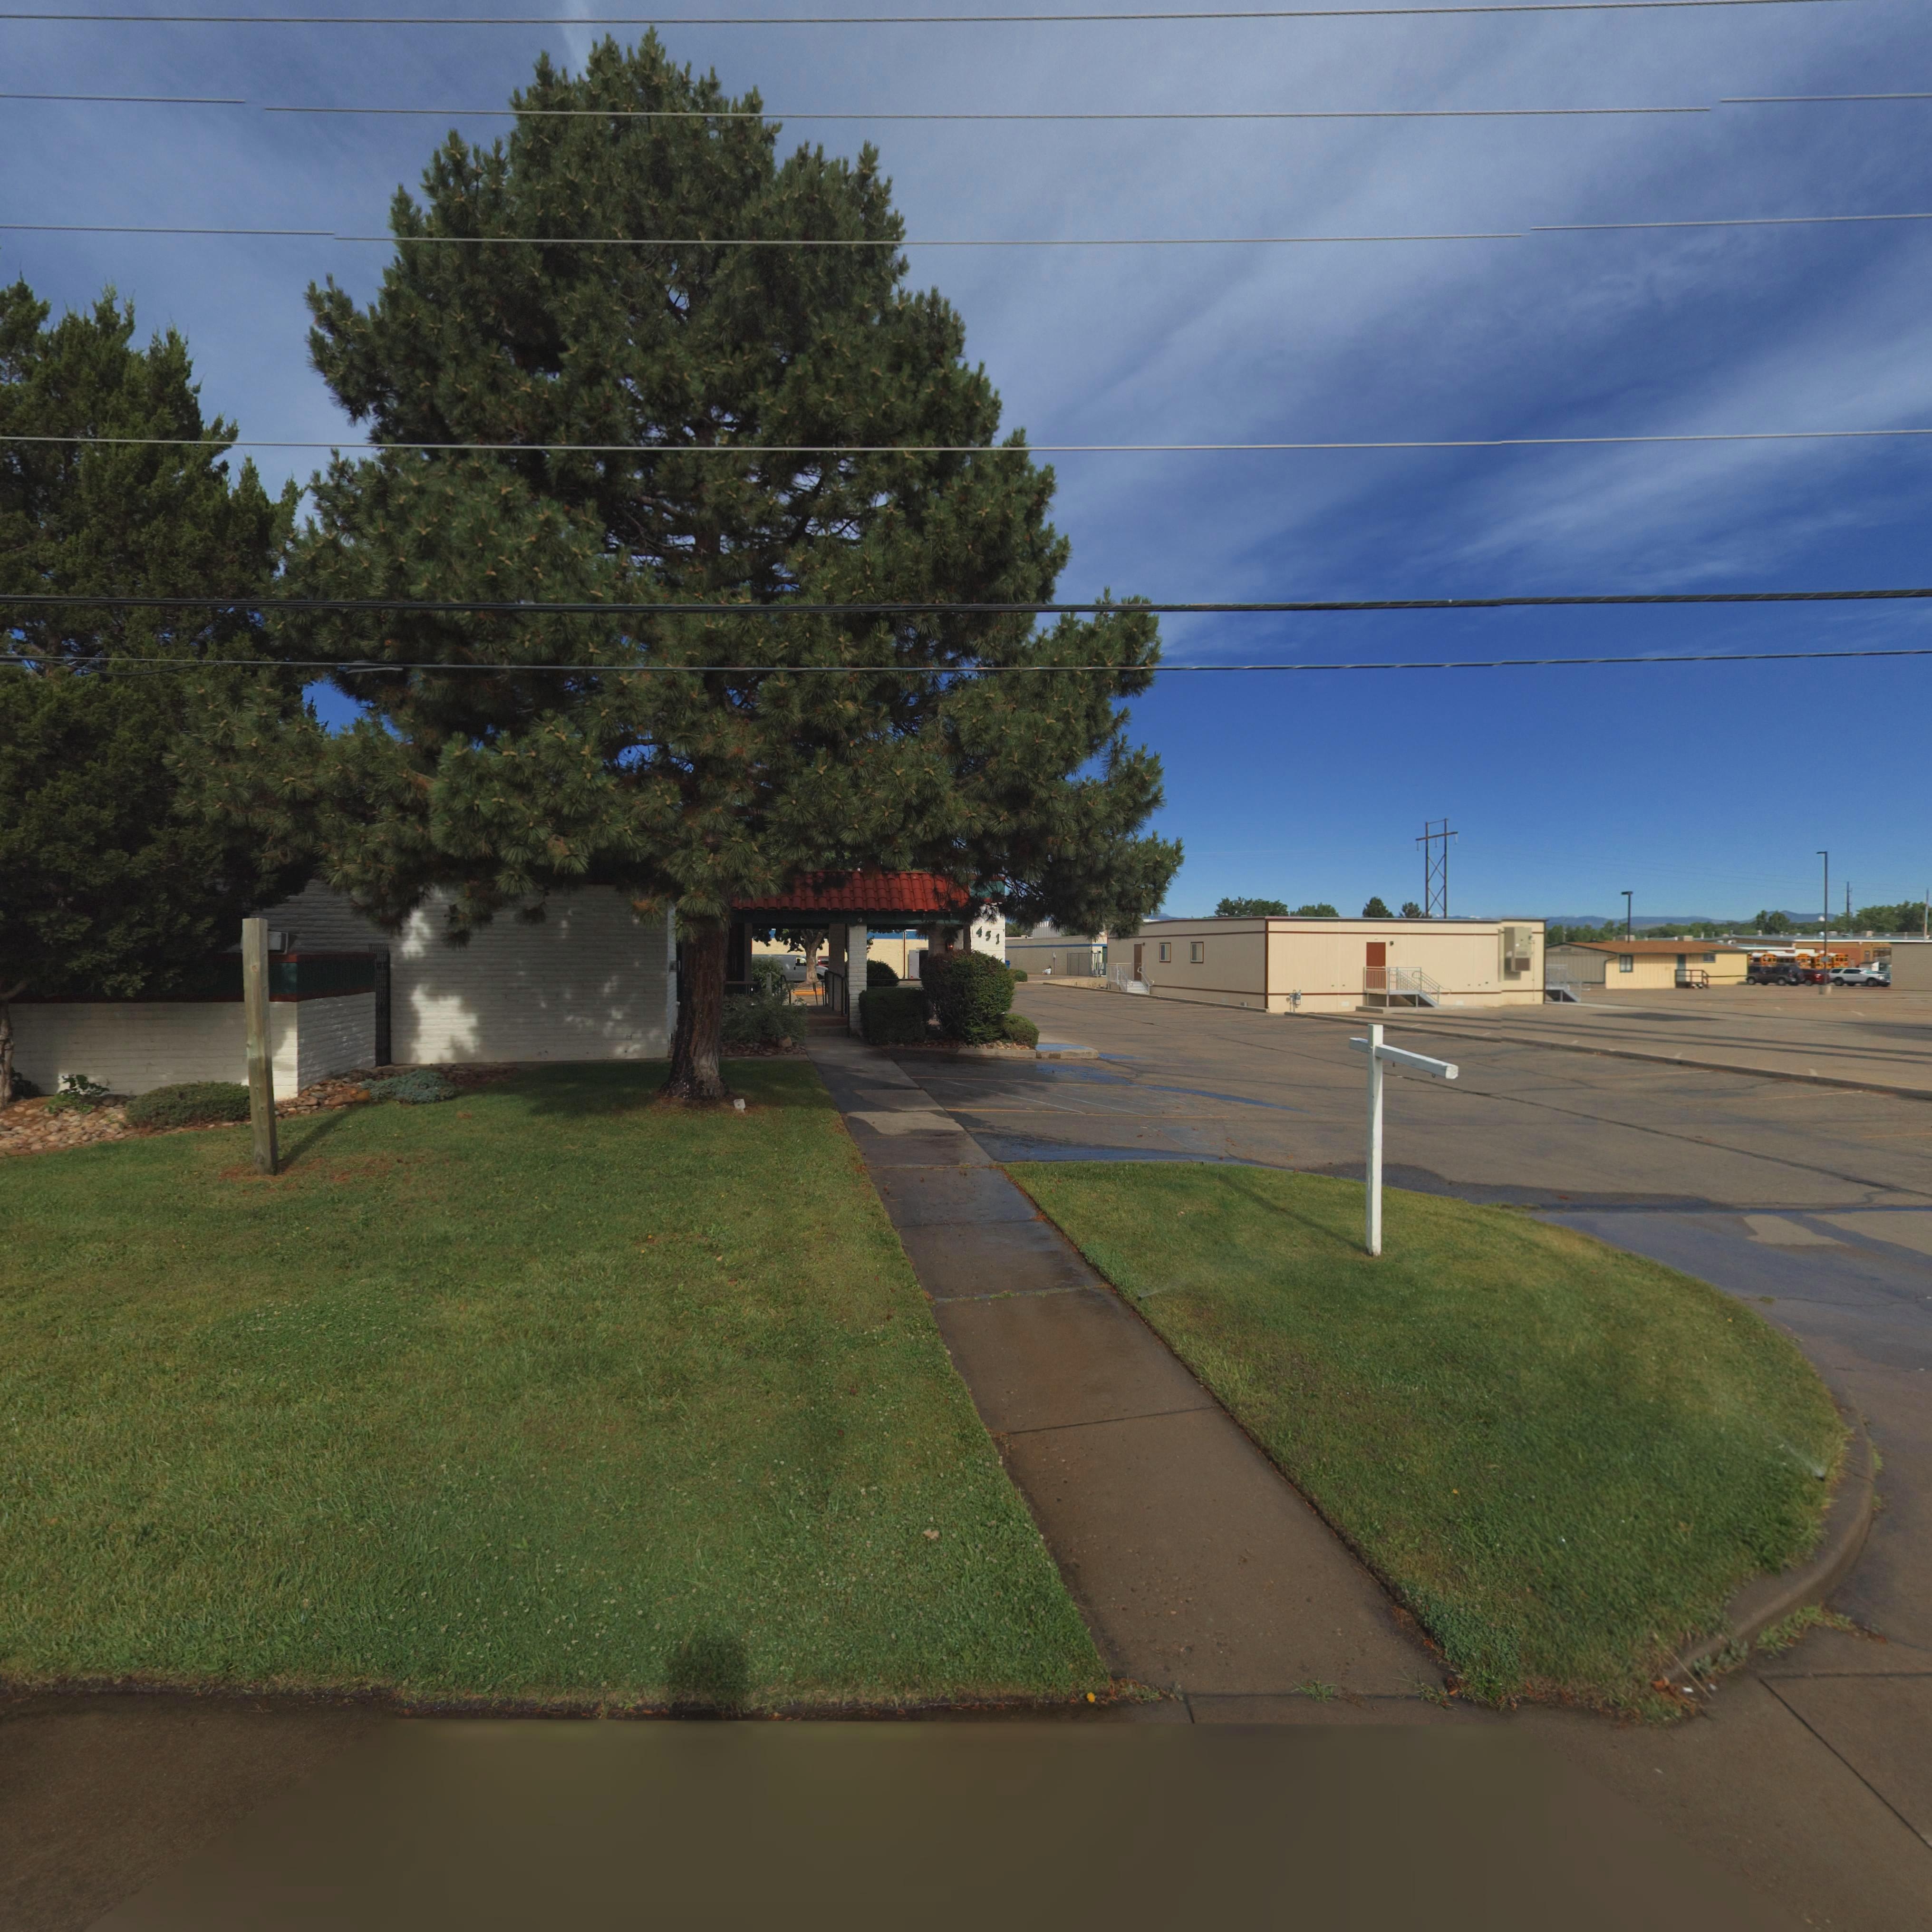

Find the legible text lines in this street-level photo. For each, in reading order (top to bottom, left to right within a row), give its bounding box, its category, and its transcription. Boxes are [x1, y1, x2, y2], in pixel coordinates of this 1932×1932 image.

[975, 925, 1000, 945] StreetNumber: 451